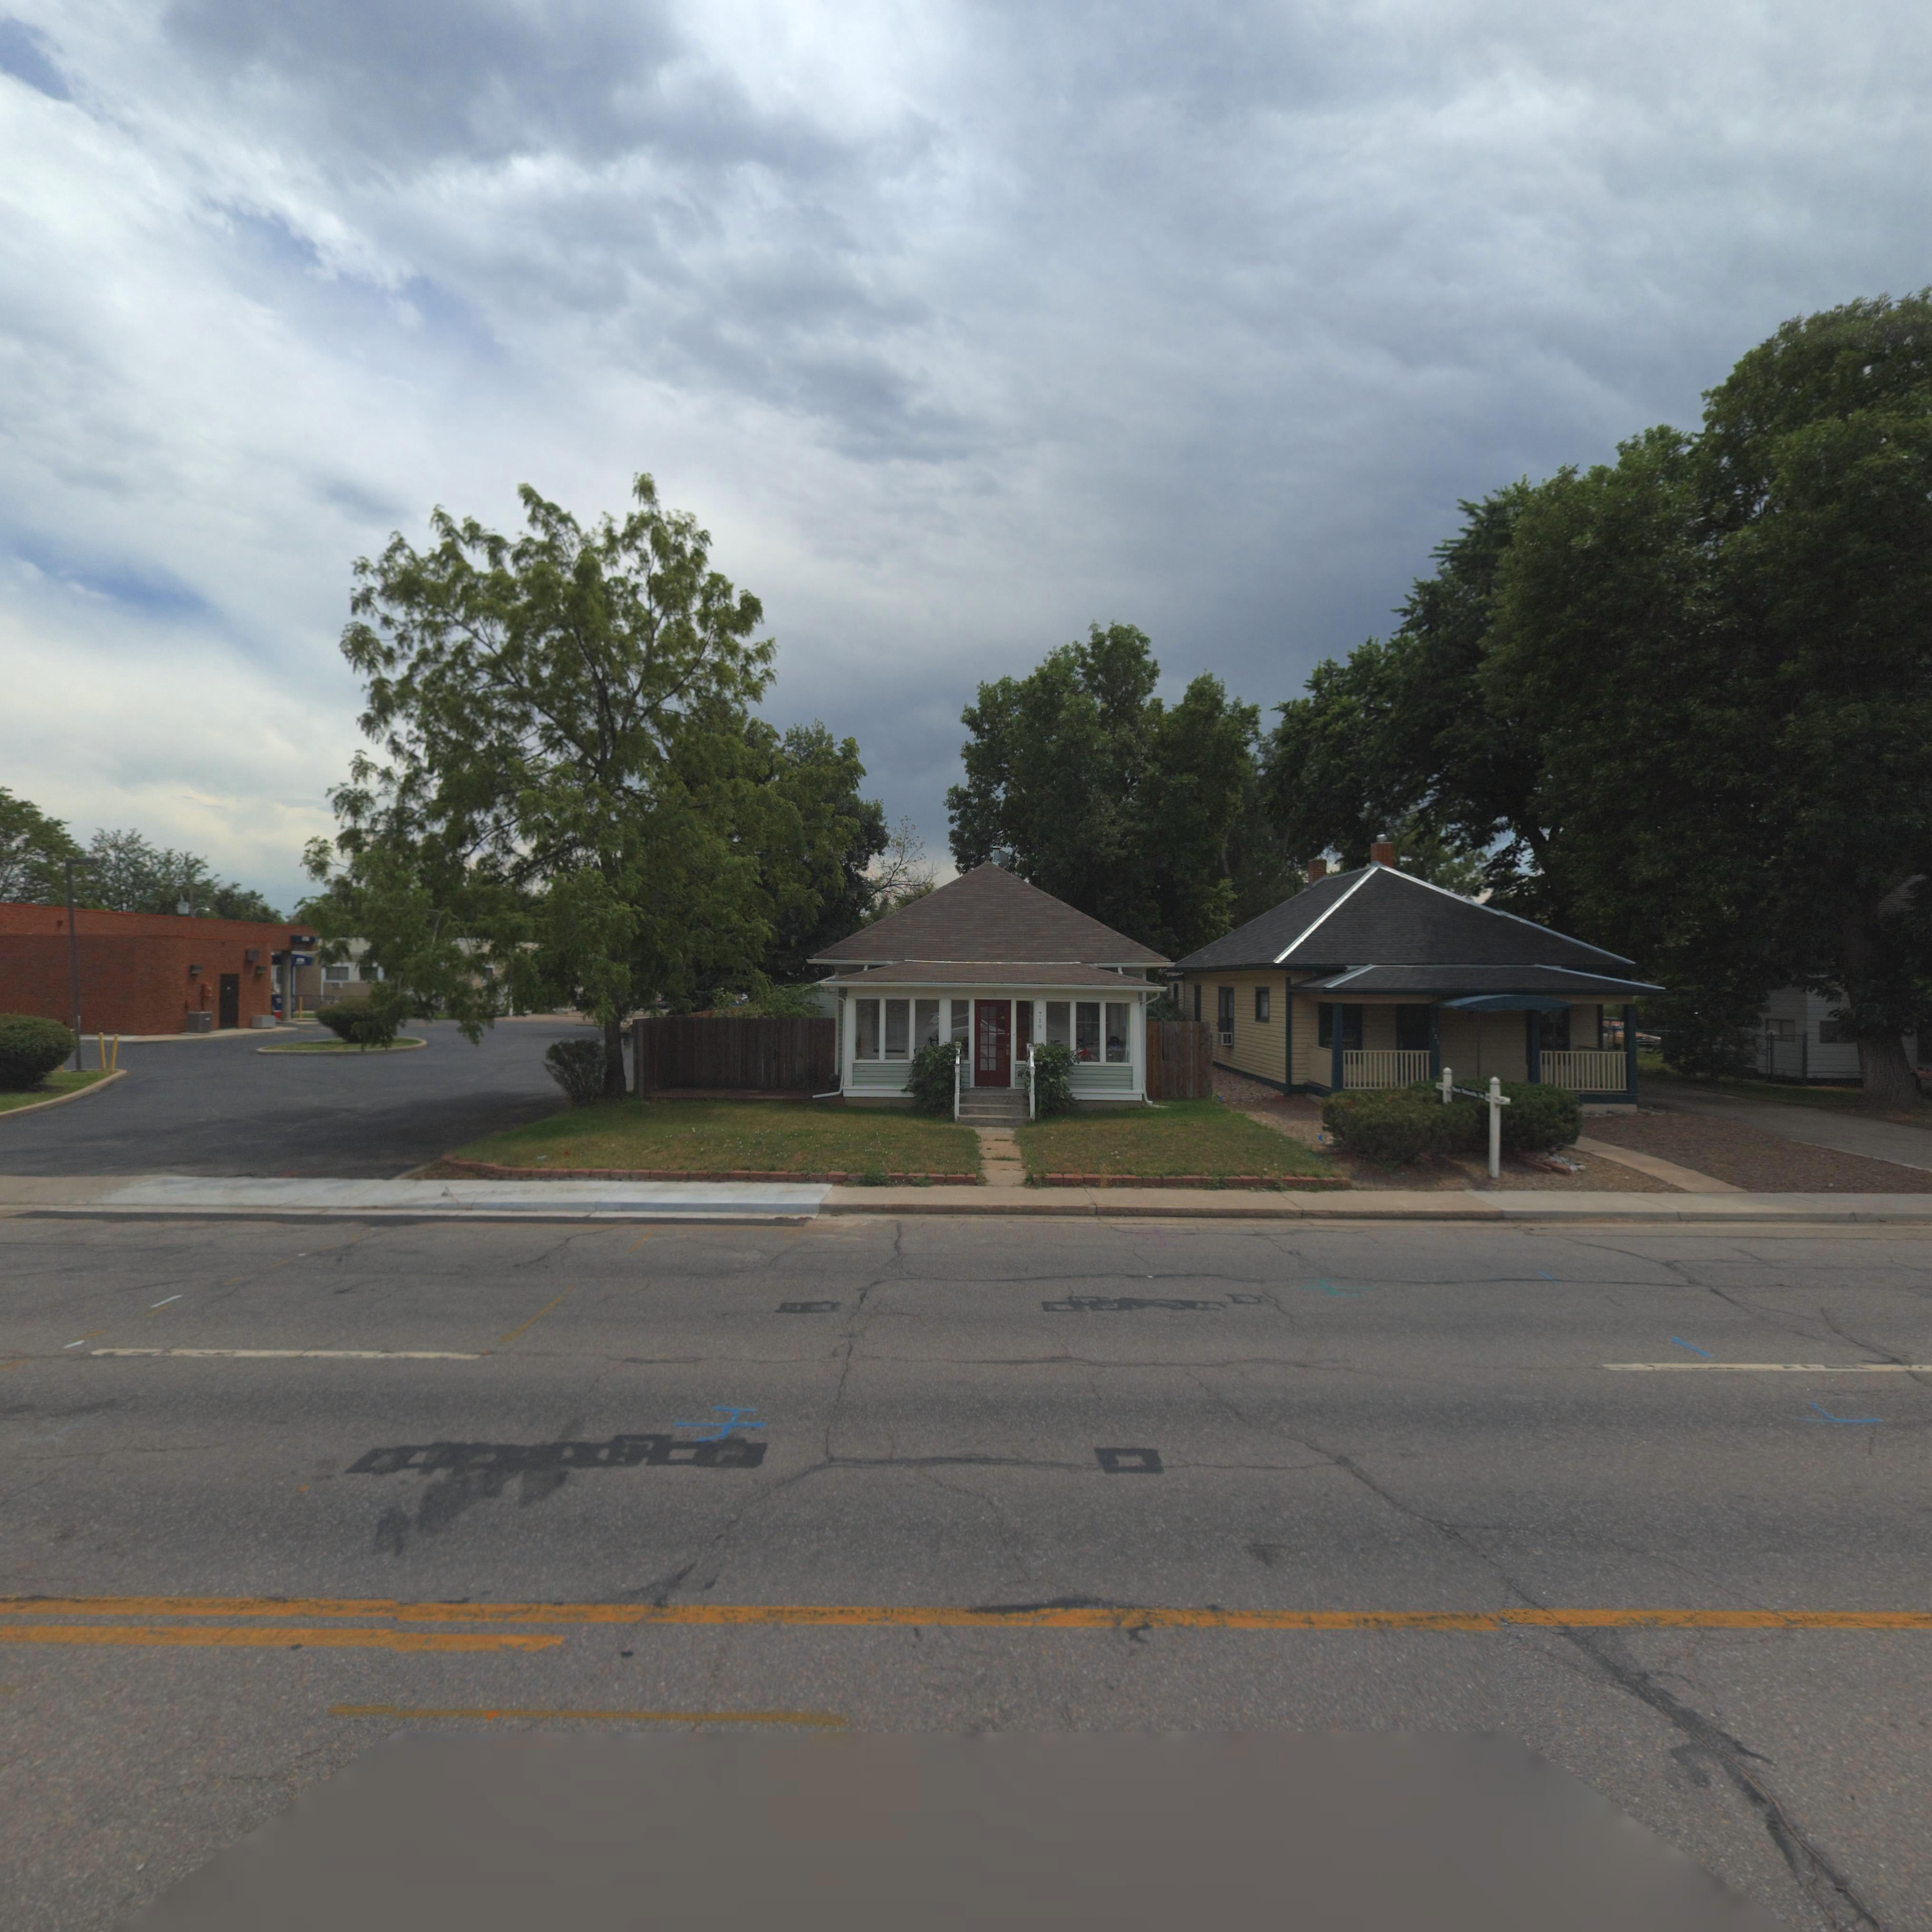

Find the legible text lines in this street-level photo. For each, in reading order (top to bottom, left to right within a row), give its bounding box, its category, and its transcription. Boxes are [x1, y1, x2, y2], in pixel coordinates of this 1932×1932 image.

[1037, 1011, 1042, 1029] StreetNumber: 719
[1431, 1027, 1439, 1047] StreetNumber: 721